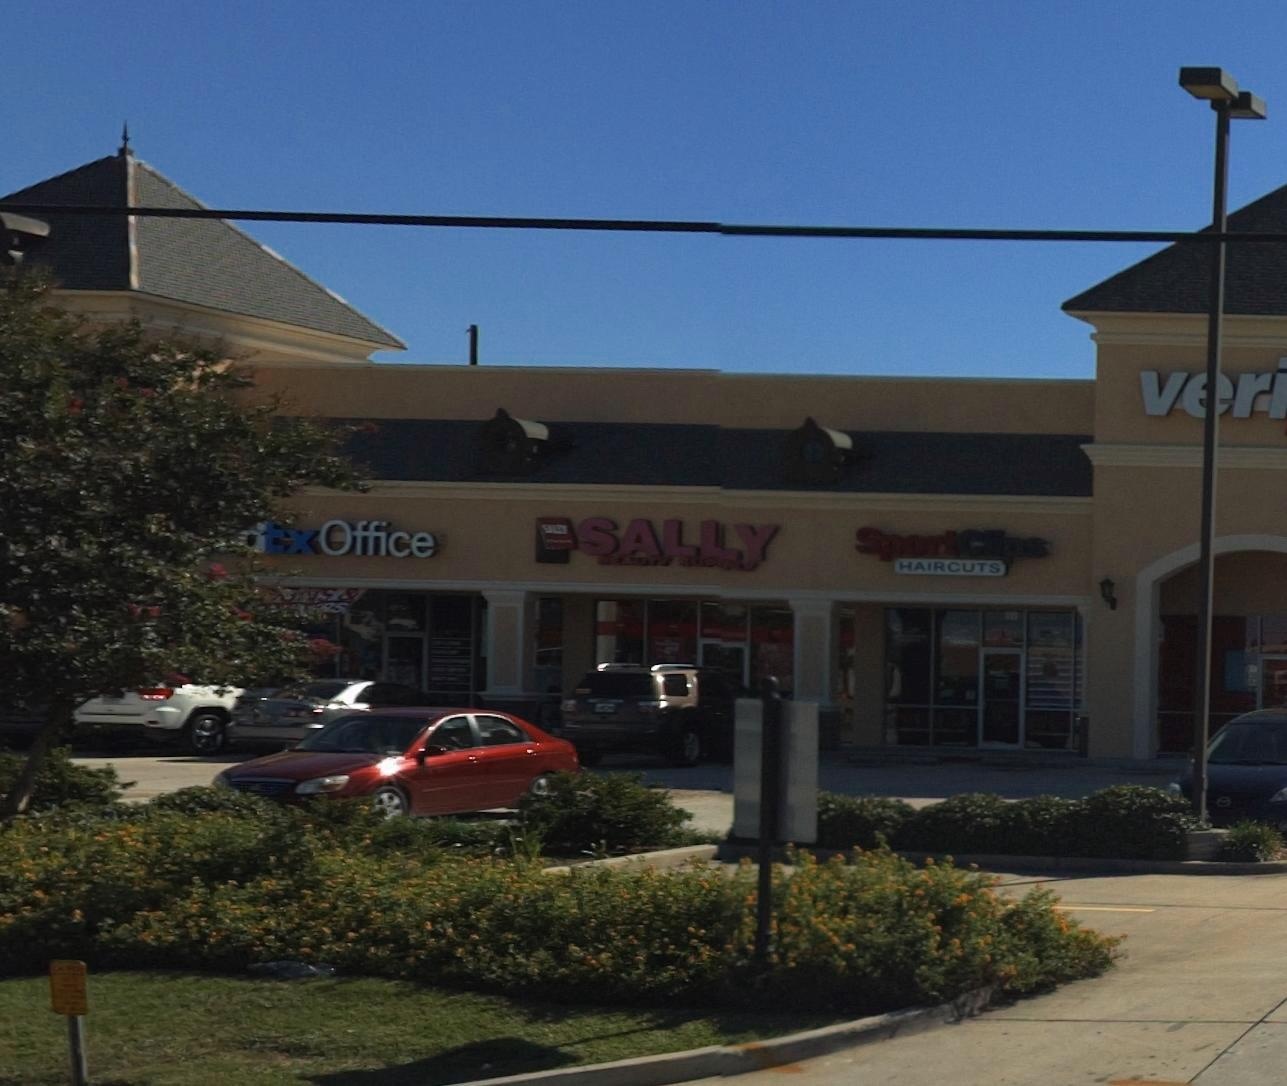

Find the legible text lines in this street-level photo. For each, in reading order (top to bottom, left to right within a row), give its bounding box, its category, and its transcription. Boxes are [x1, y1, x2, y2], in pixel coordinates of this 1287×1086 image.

[1133, 364, 1280, 424] BusinessName: v*r
[281, 516, 441, 561] BusinessName: x Office
[573, 513, 785, 564] BusinessName: SALLY
[897, 558, 1002, 576] None: HAIRCUTS
[851, 522, 1052, 569] BusinessName: SportClips